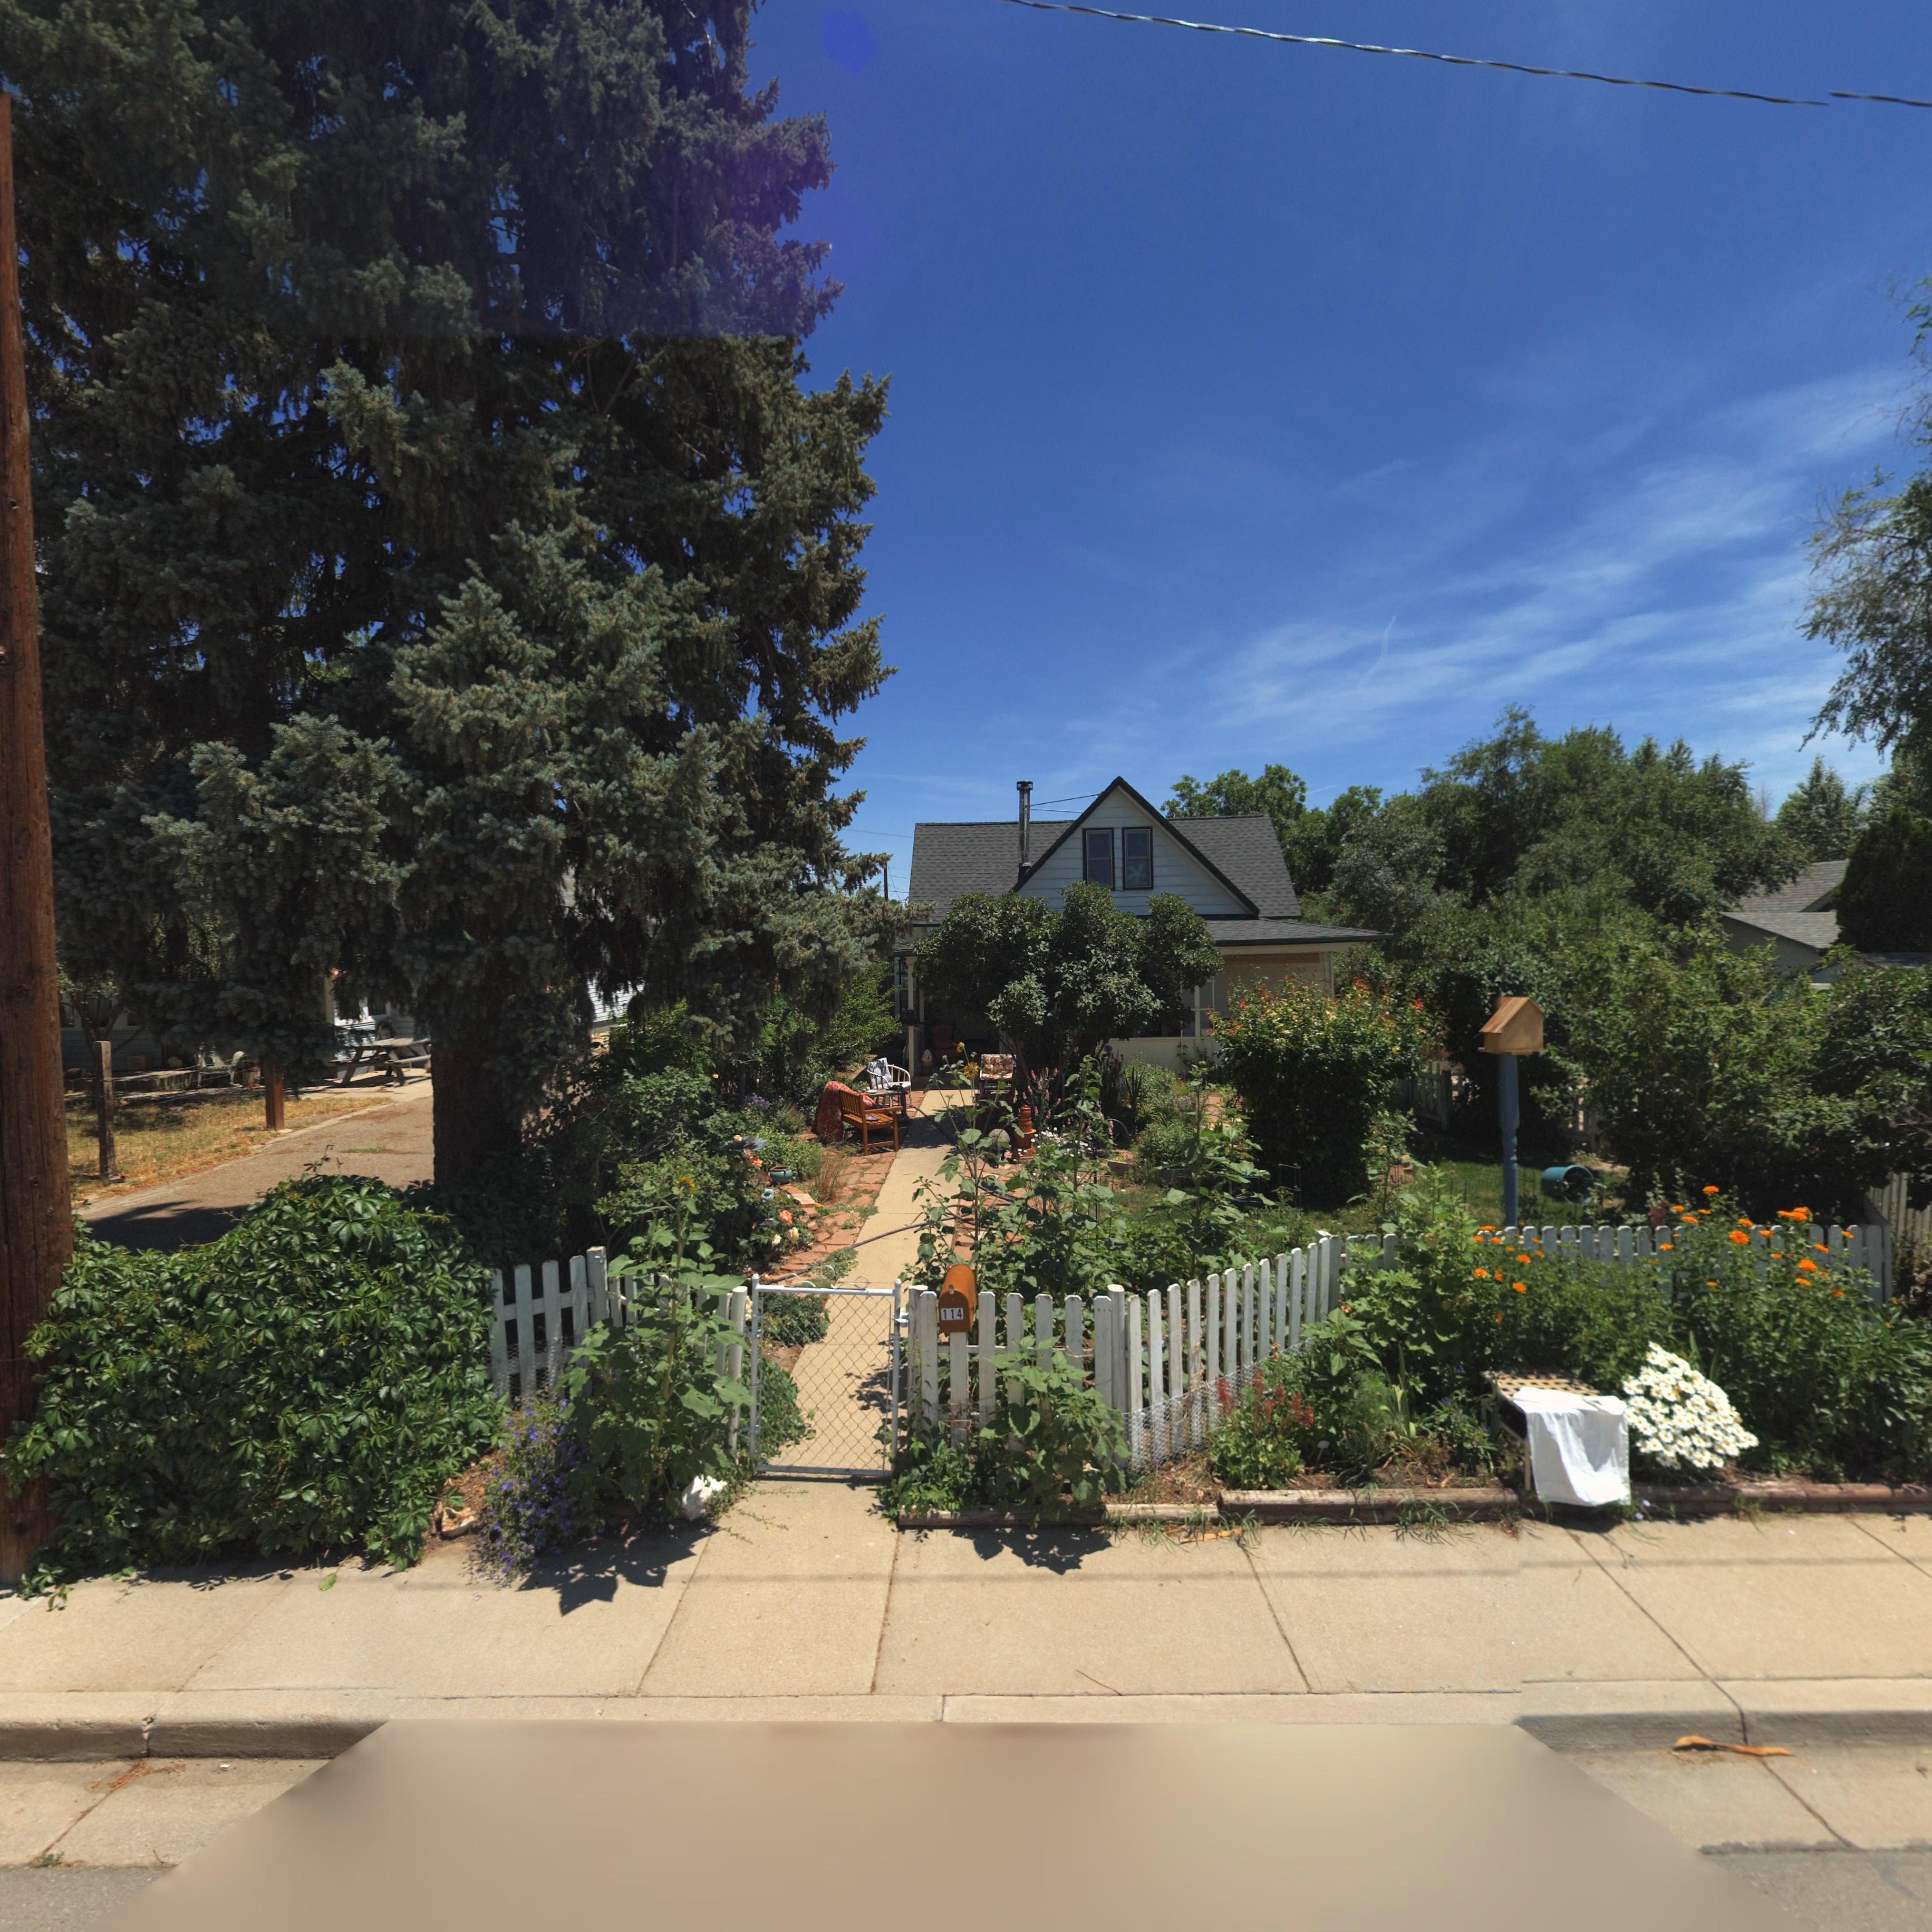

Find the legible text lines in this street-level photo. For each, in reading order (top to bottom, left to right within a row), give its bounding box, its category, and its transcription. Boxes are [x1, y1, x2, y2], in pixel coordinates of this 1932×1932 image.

[942, 1308, 962, 1319] StreetNumber: 114